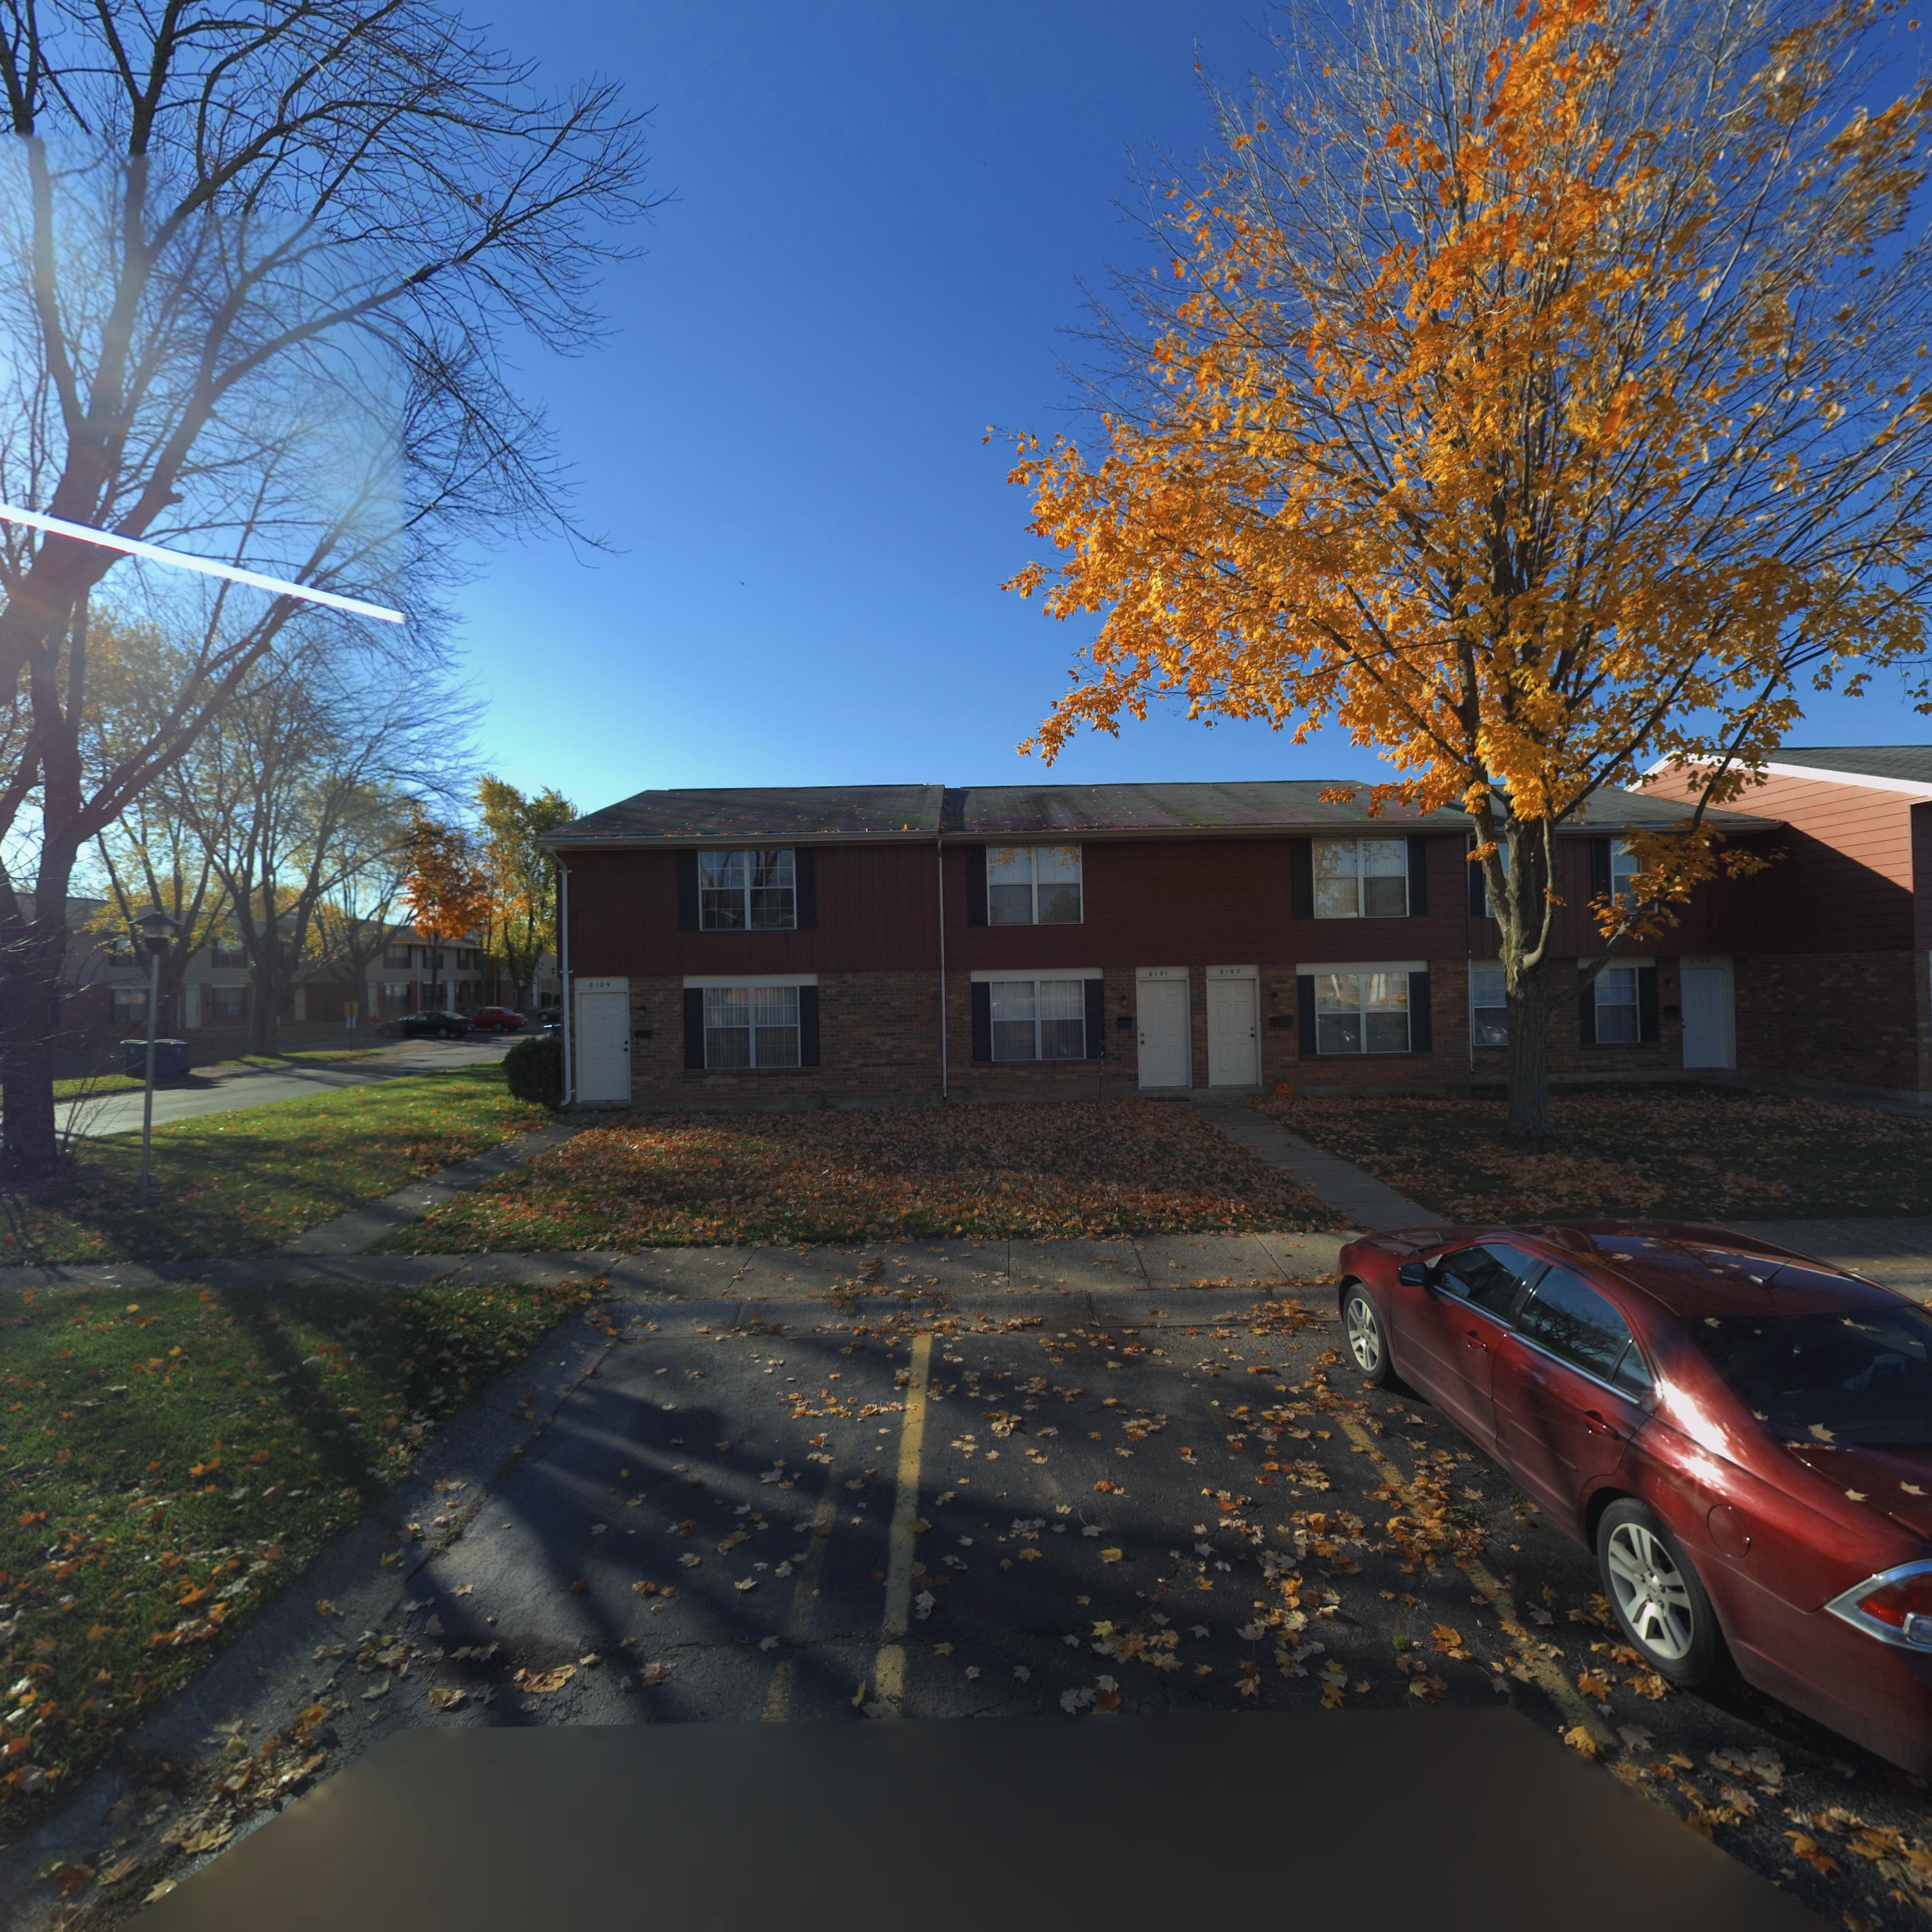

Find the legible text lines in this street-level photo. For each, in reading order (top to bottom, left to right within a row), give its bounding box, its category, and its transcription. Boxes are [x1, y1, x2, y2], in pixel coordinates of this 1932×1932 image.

[1689, 958, 1710, 965] StreetNumber: 8195
[1148, 970, 1168, 977] StreetNumber: 8191
[1218, 967, 1241, 976] StreetNumber: 8193
[588, 981, 611, 988] StreetNumber: 8189